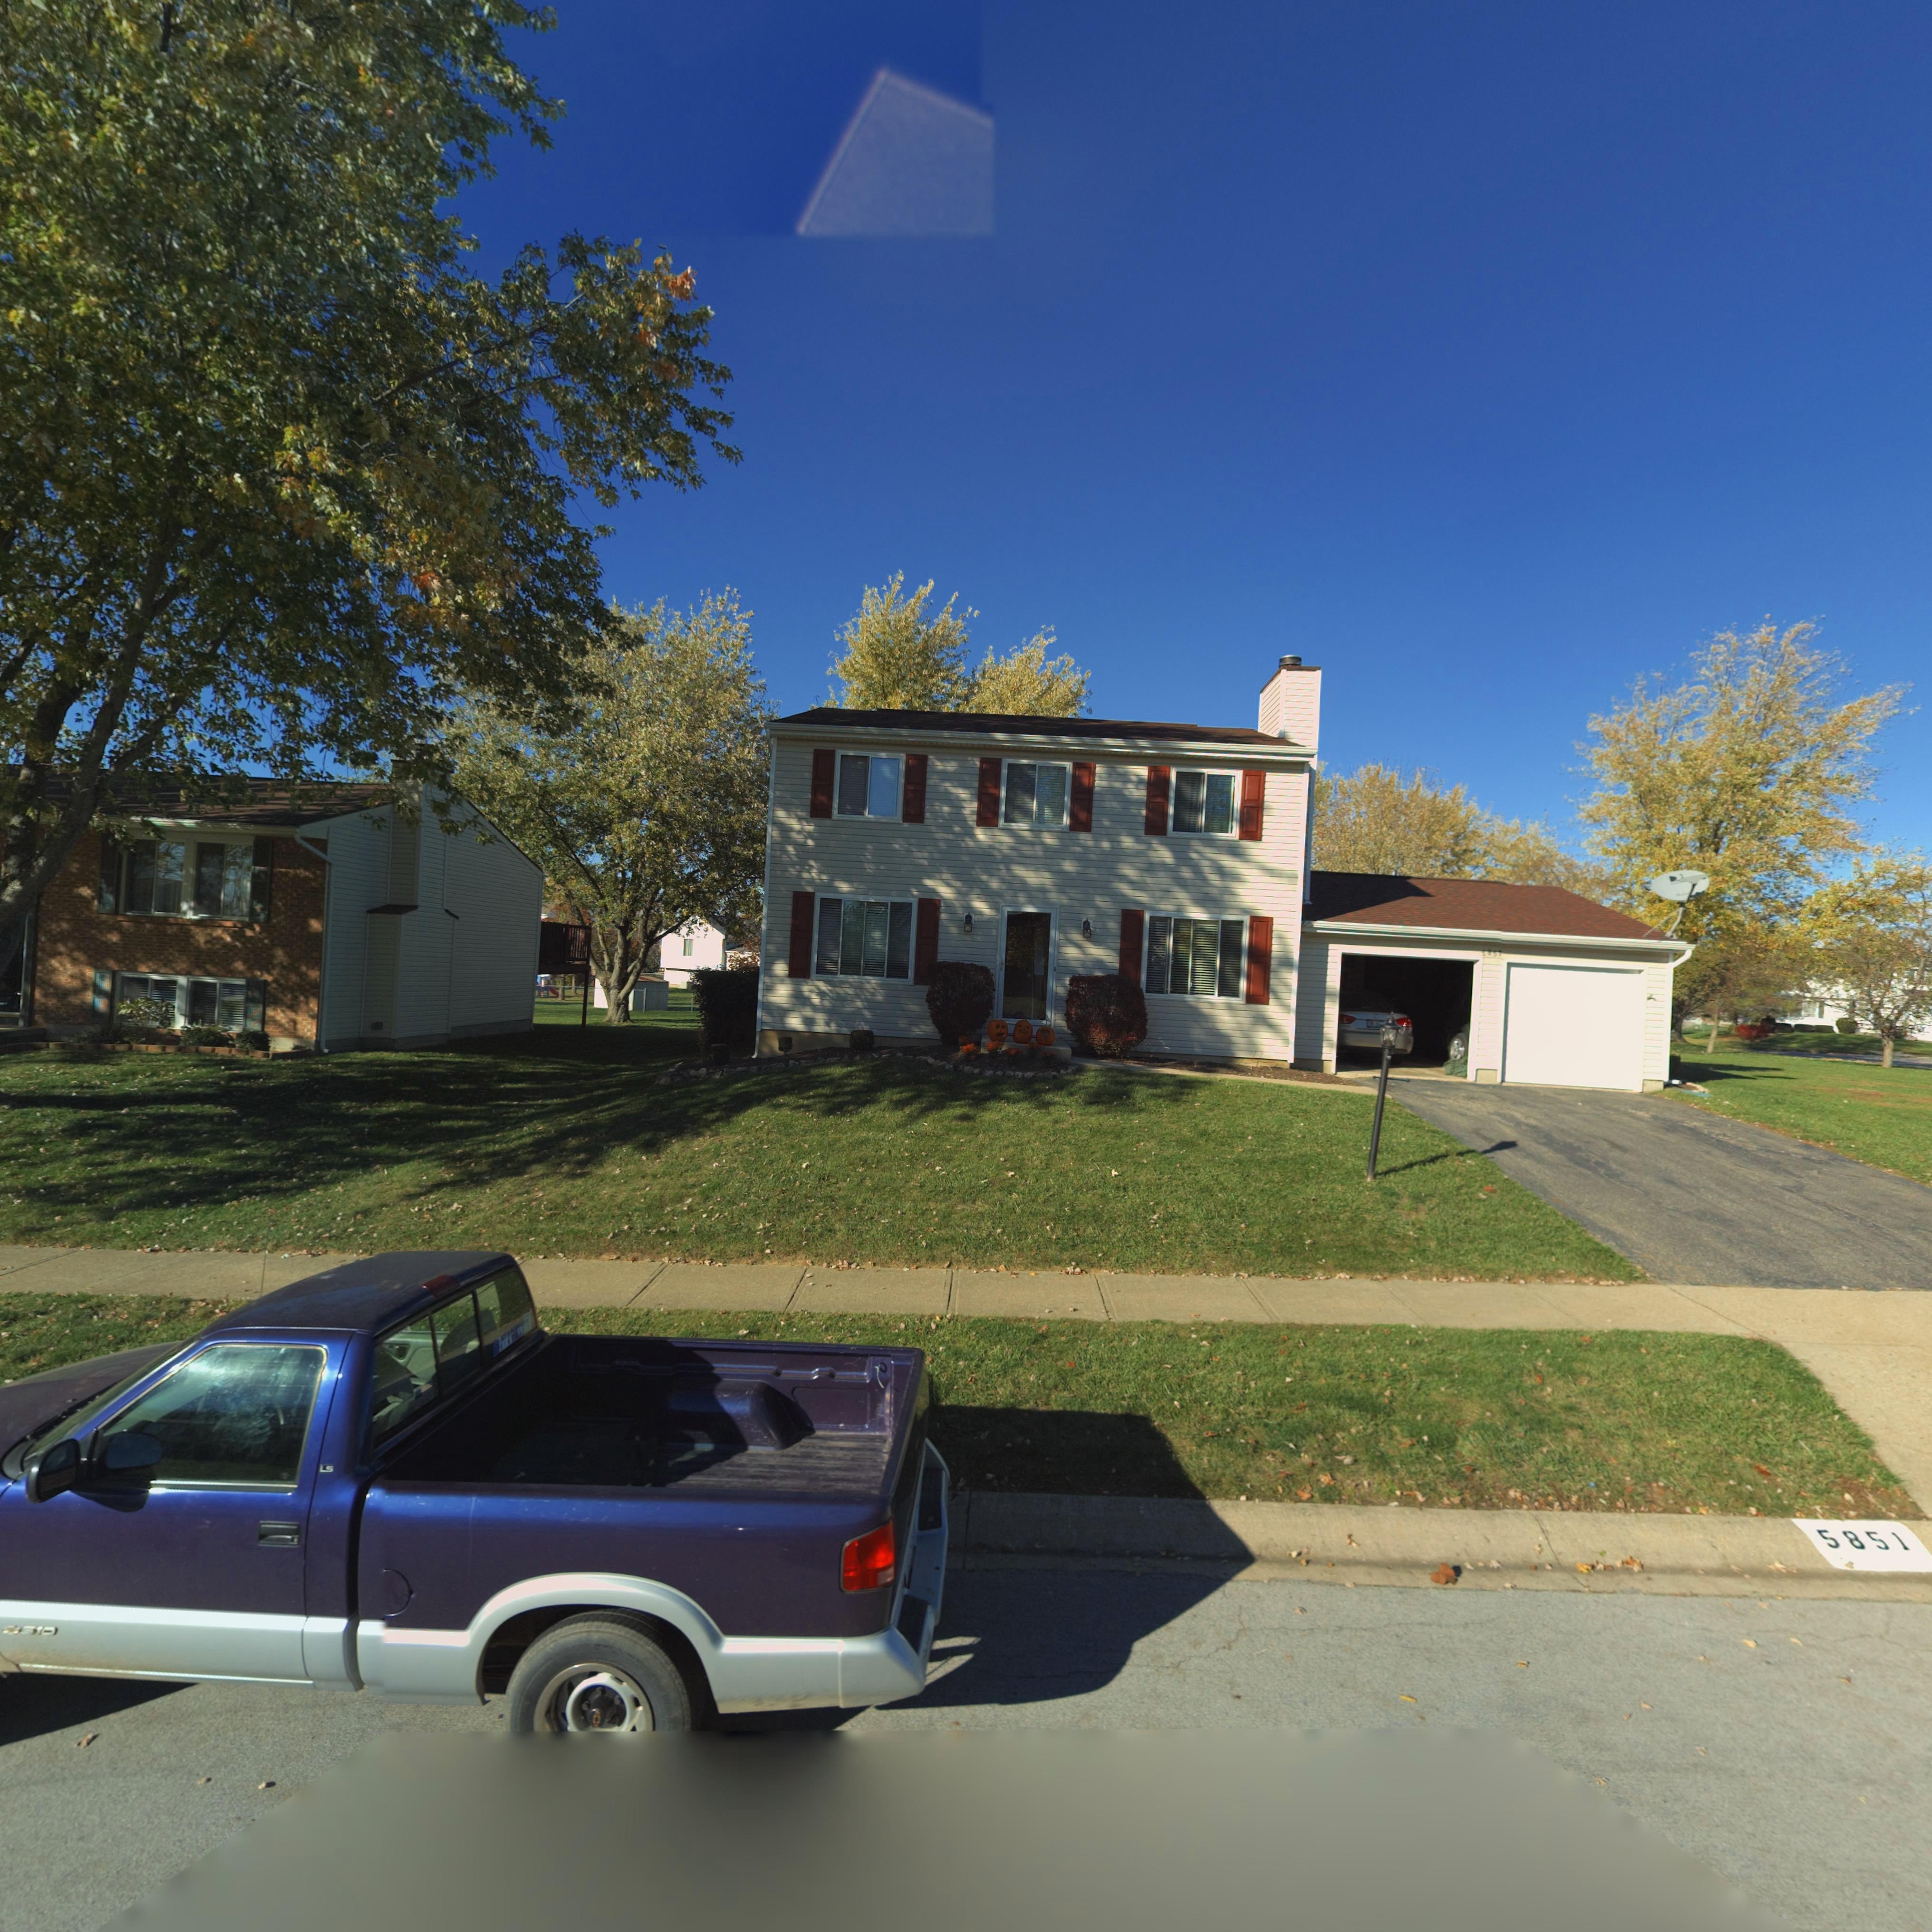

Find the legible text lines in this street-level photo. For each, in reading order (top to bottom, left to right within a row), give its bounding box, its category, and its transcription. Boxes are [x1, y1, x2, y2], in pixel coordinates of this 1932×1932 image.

[1480, 948, 1503, 958] StreetNumber: 5851
[1815, 1529, 1912, 1551] StreetNumber: 5851